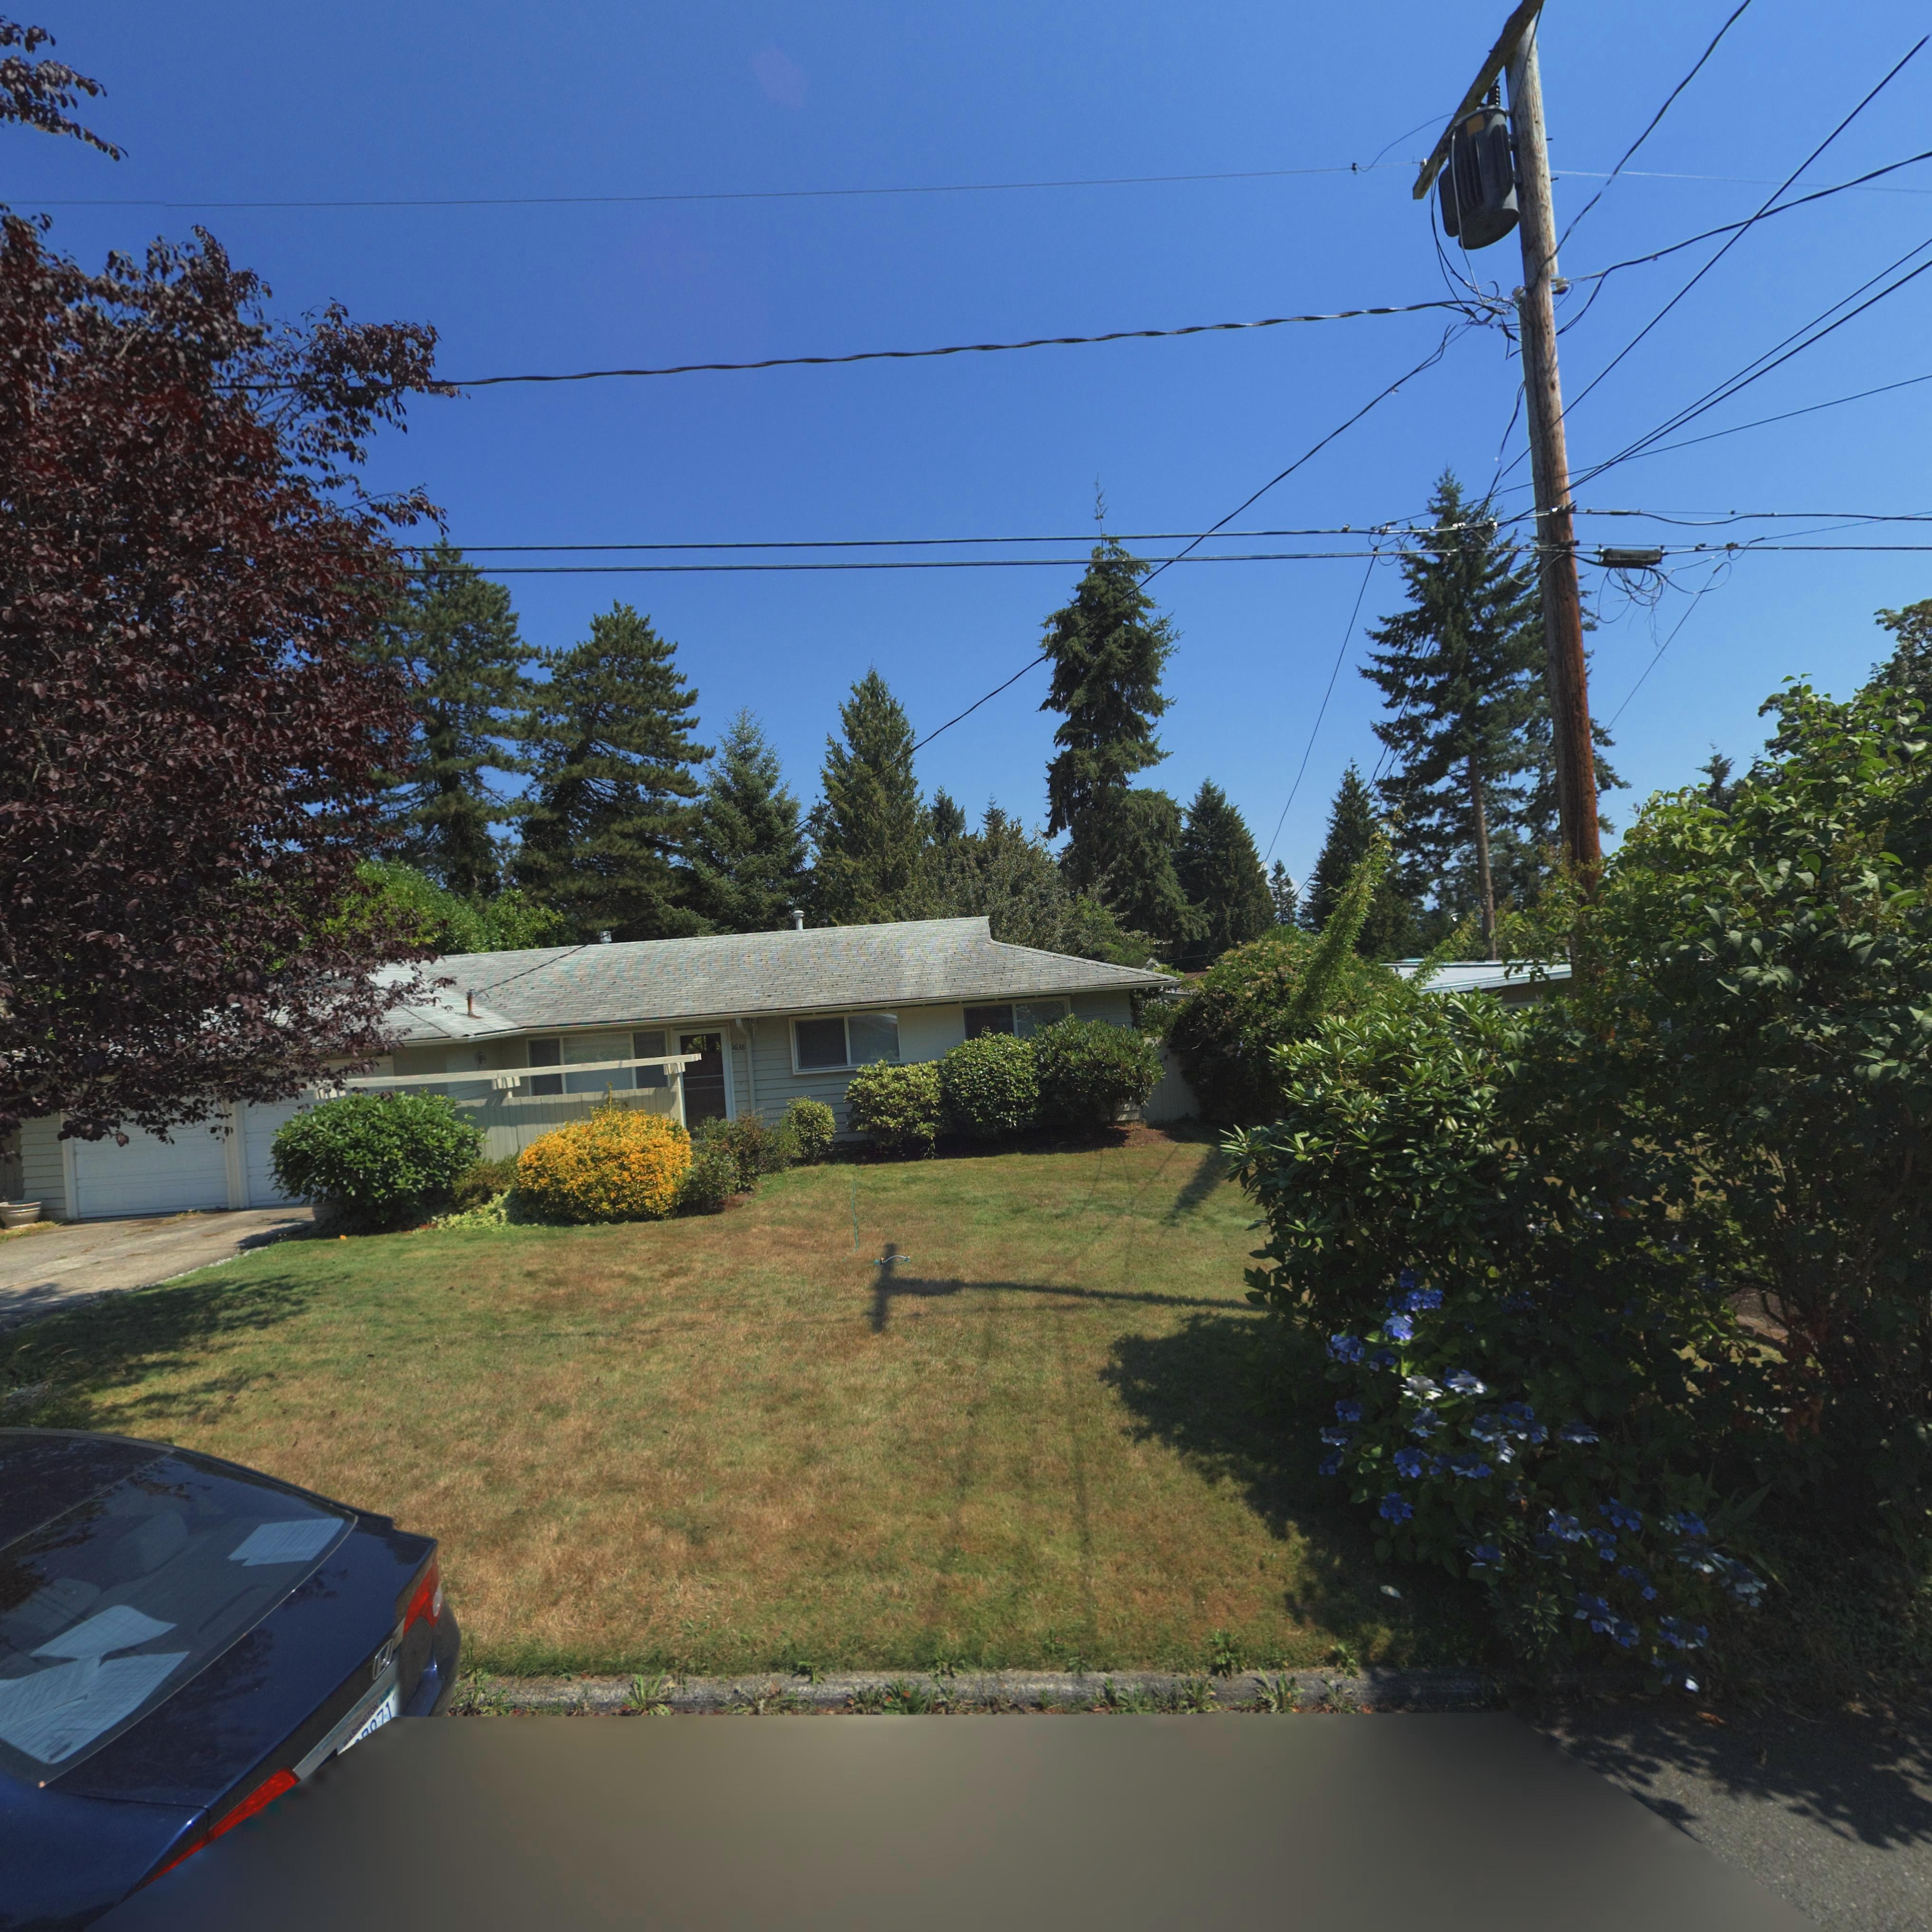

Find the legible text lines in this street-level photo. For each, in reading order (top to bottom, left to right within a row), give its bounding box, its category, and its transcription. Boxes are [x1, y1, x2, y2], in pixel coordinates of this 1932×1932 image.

[732, 1043, 745, 1051] StreetNumber: 1638